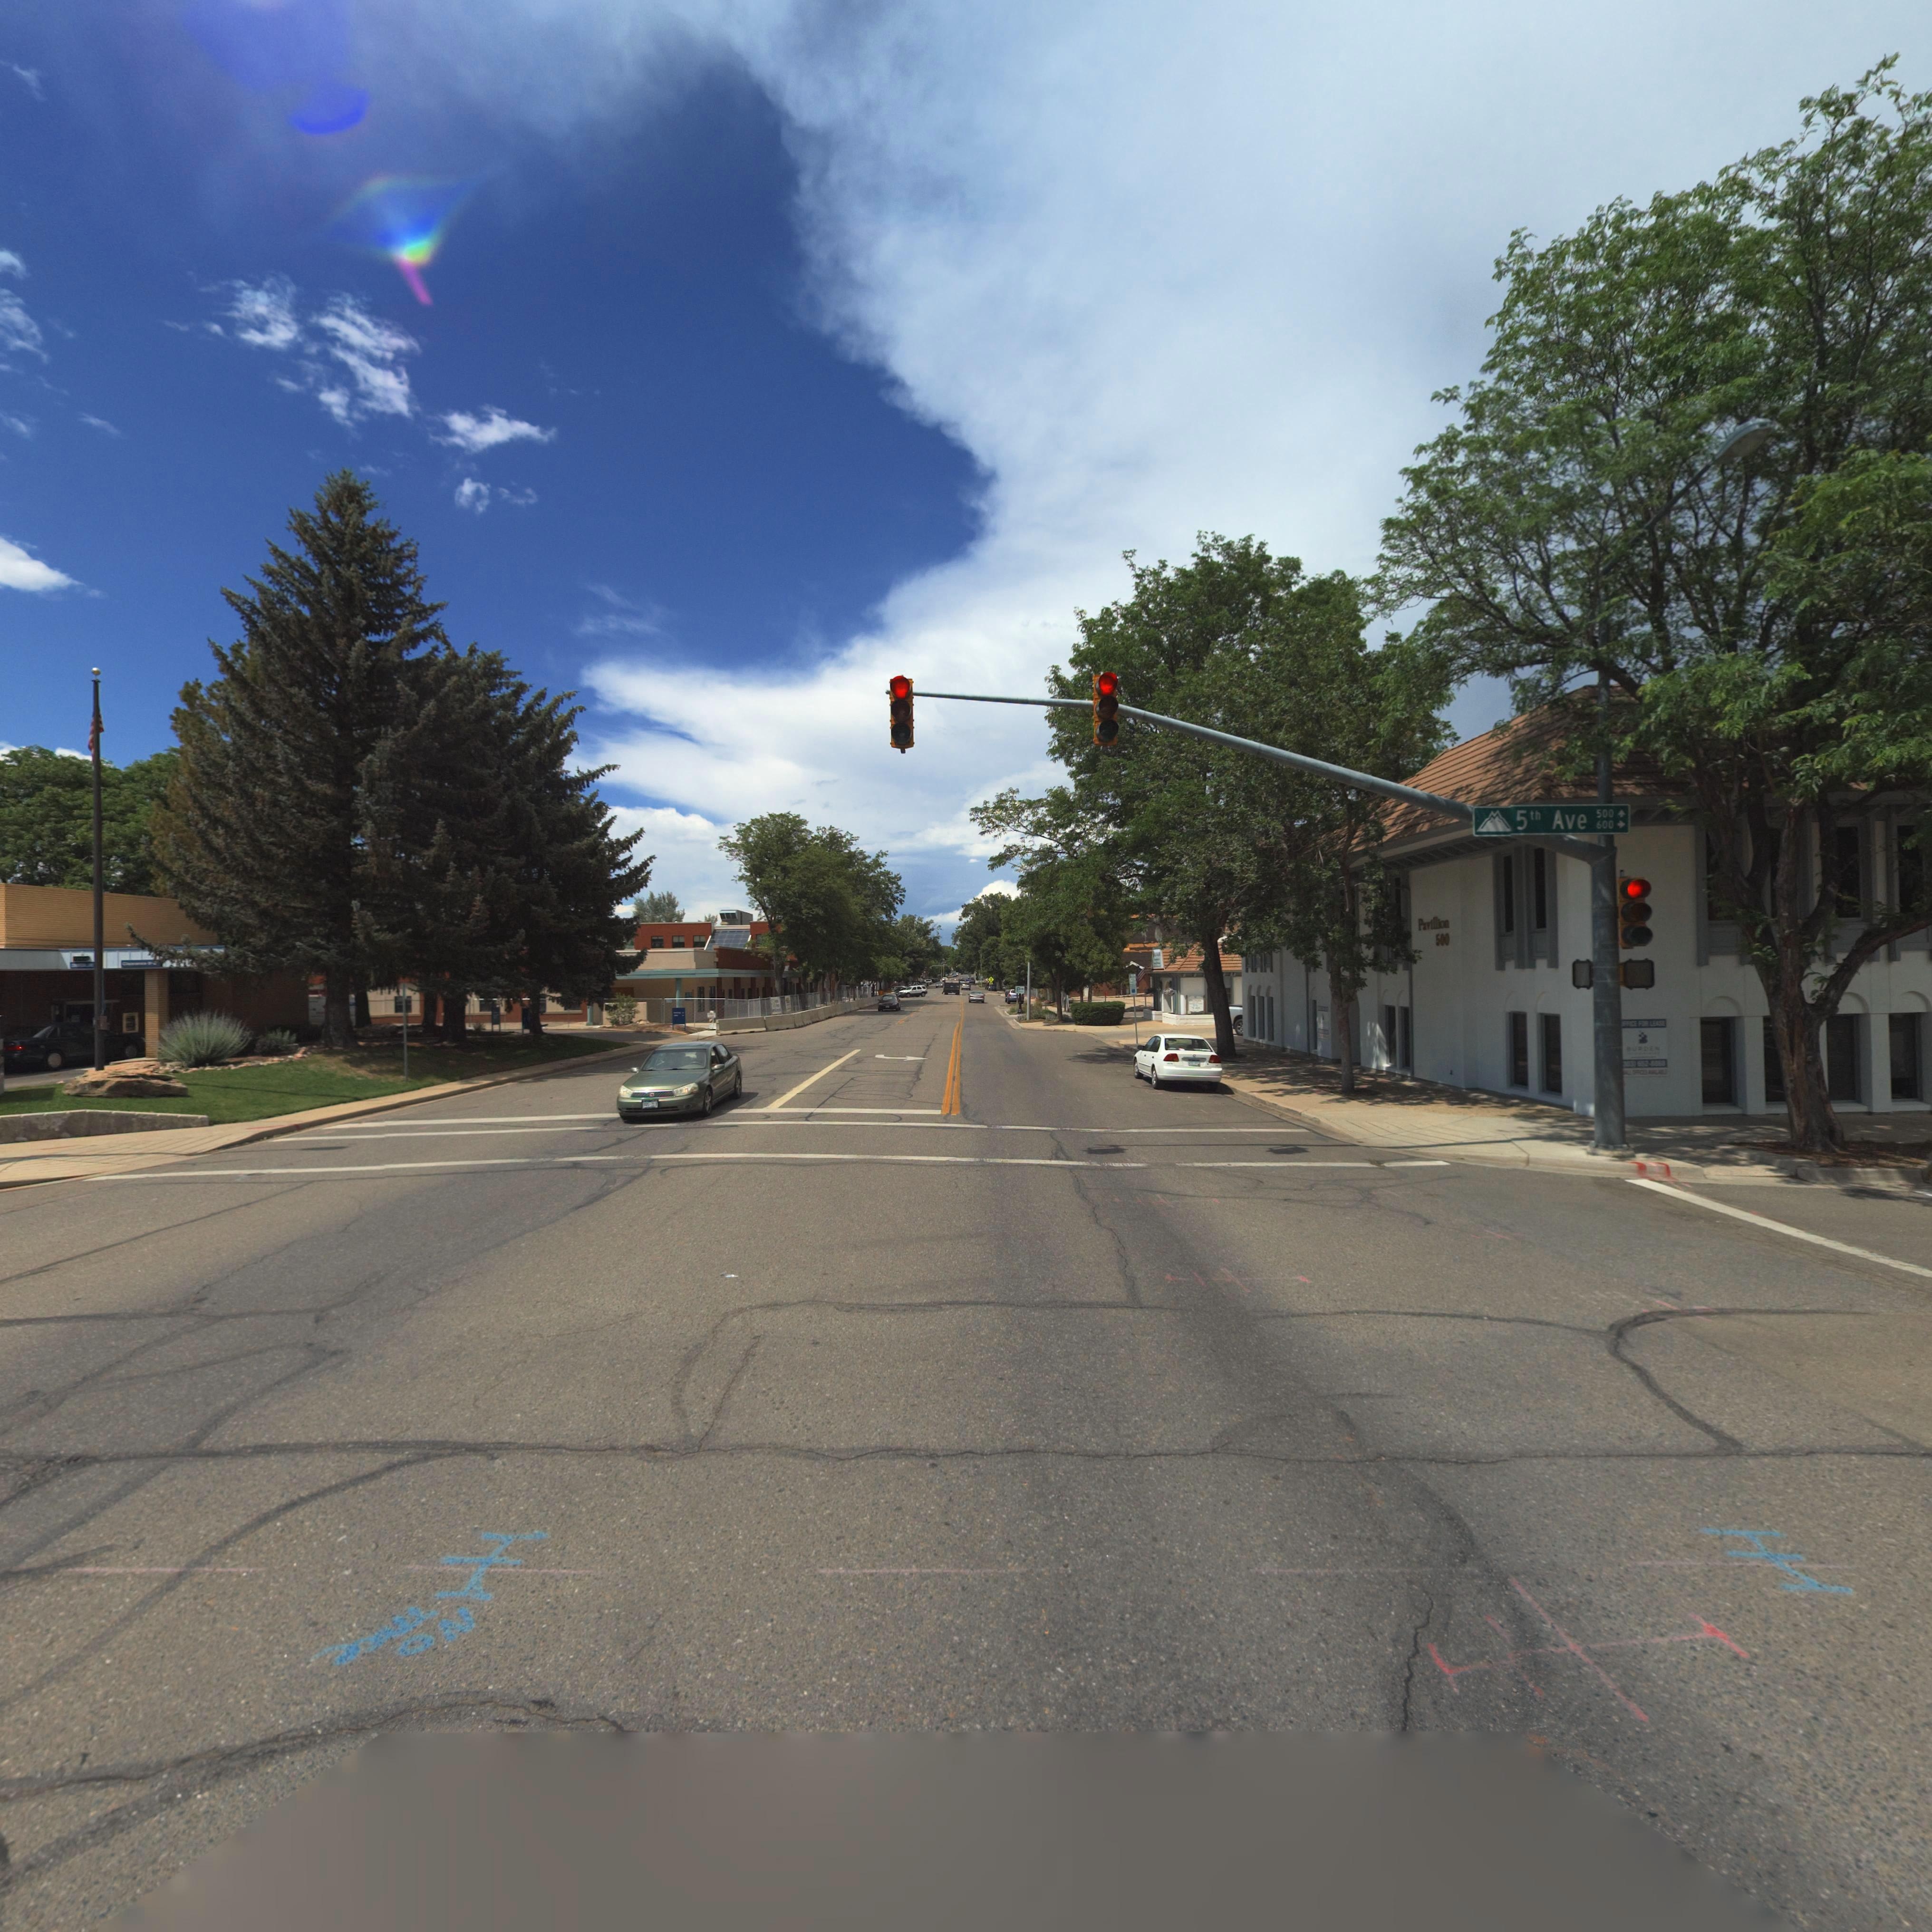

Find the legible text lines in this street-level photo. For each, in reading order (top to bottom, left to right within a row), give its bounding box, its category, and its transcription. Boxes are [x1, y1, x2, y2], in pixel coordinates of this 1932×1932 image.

[1516, 809, 1587, 831] StreetName: 5th Ave
[1596, 809, 1614, 818] StreetNumberRange: 500
[1596, 820, 1626, 829] StreetNumberRange: 600->
[1435, 932, 1450, 947] StreetNumber: 500